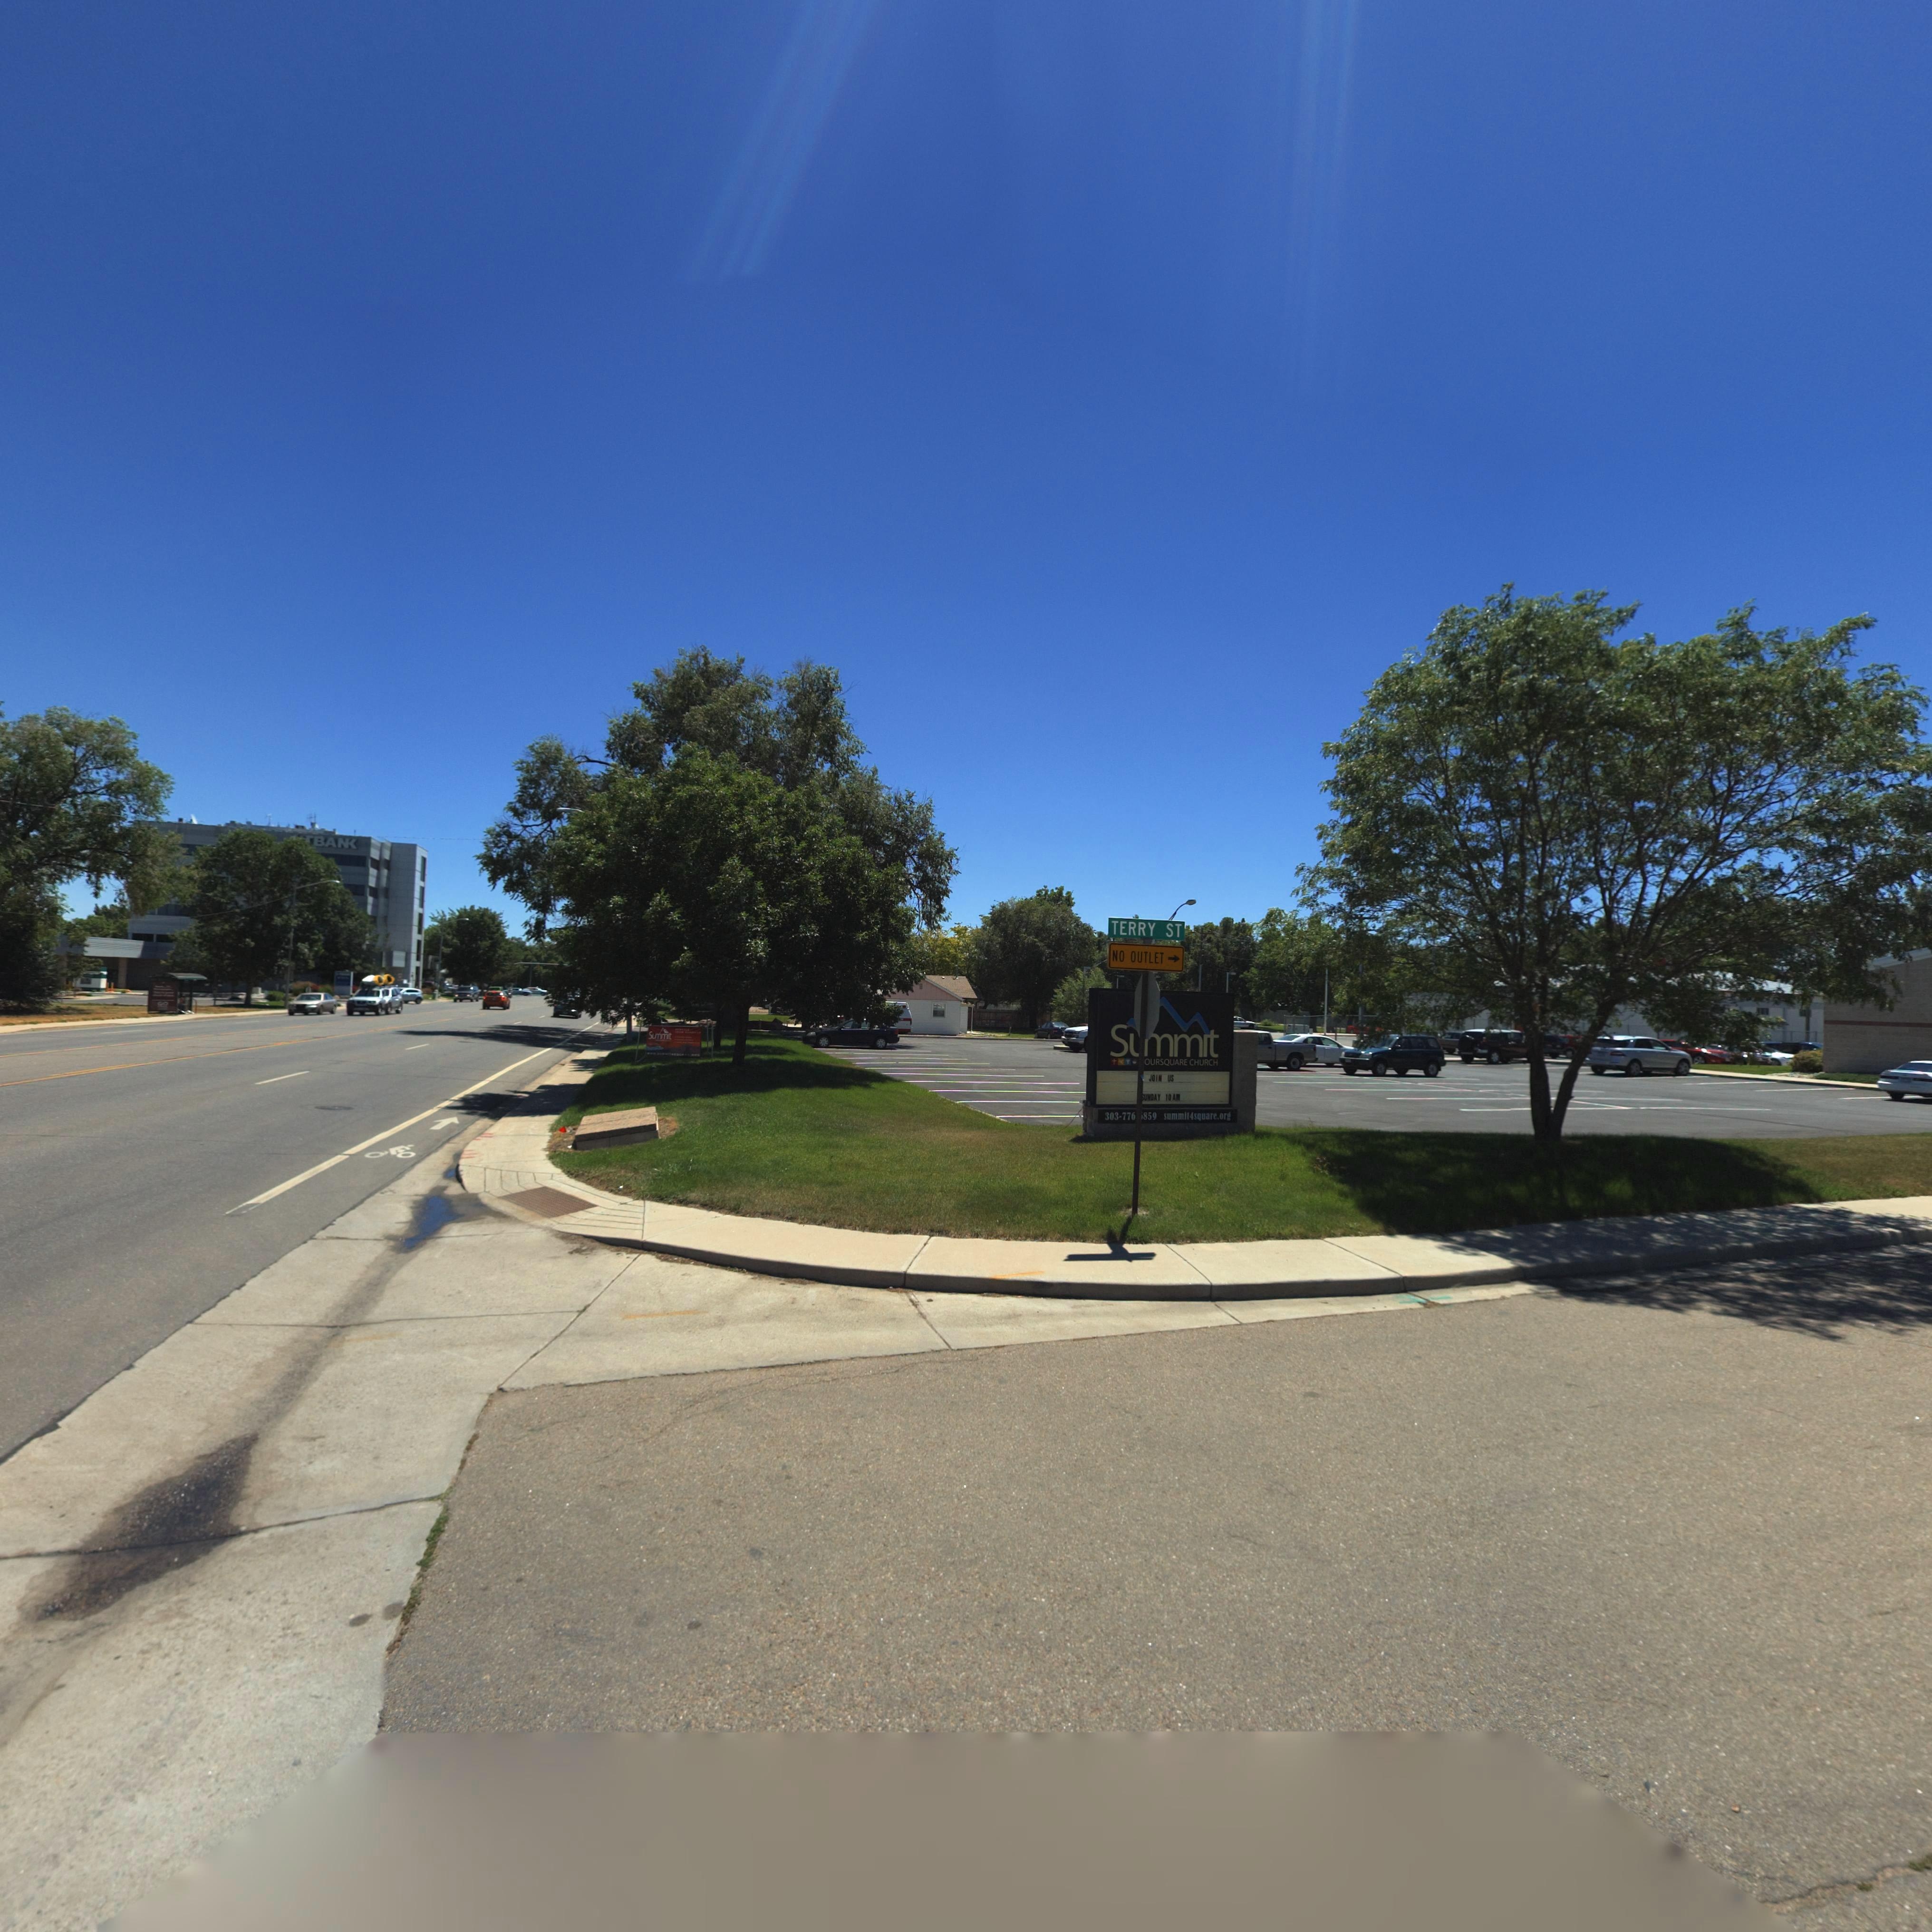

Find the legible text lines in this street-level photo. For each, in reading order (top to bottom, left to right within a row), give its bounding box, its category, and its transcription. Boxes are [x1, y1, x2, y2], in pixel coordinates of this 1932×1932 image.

[312, 834, 358, 850] BusinessName: BAN*
[1110, 919, 1184, 937] StreetName: TERRY ST
[647, 1031, 672, 1040] BusinessName: Summit
[1109, 1024, 1219, 1058] BusinessName: S*mmit
[1144, 1058, 1219, 1066] BusinessName: FOURSQUARE CHURCH